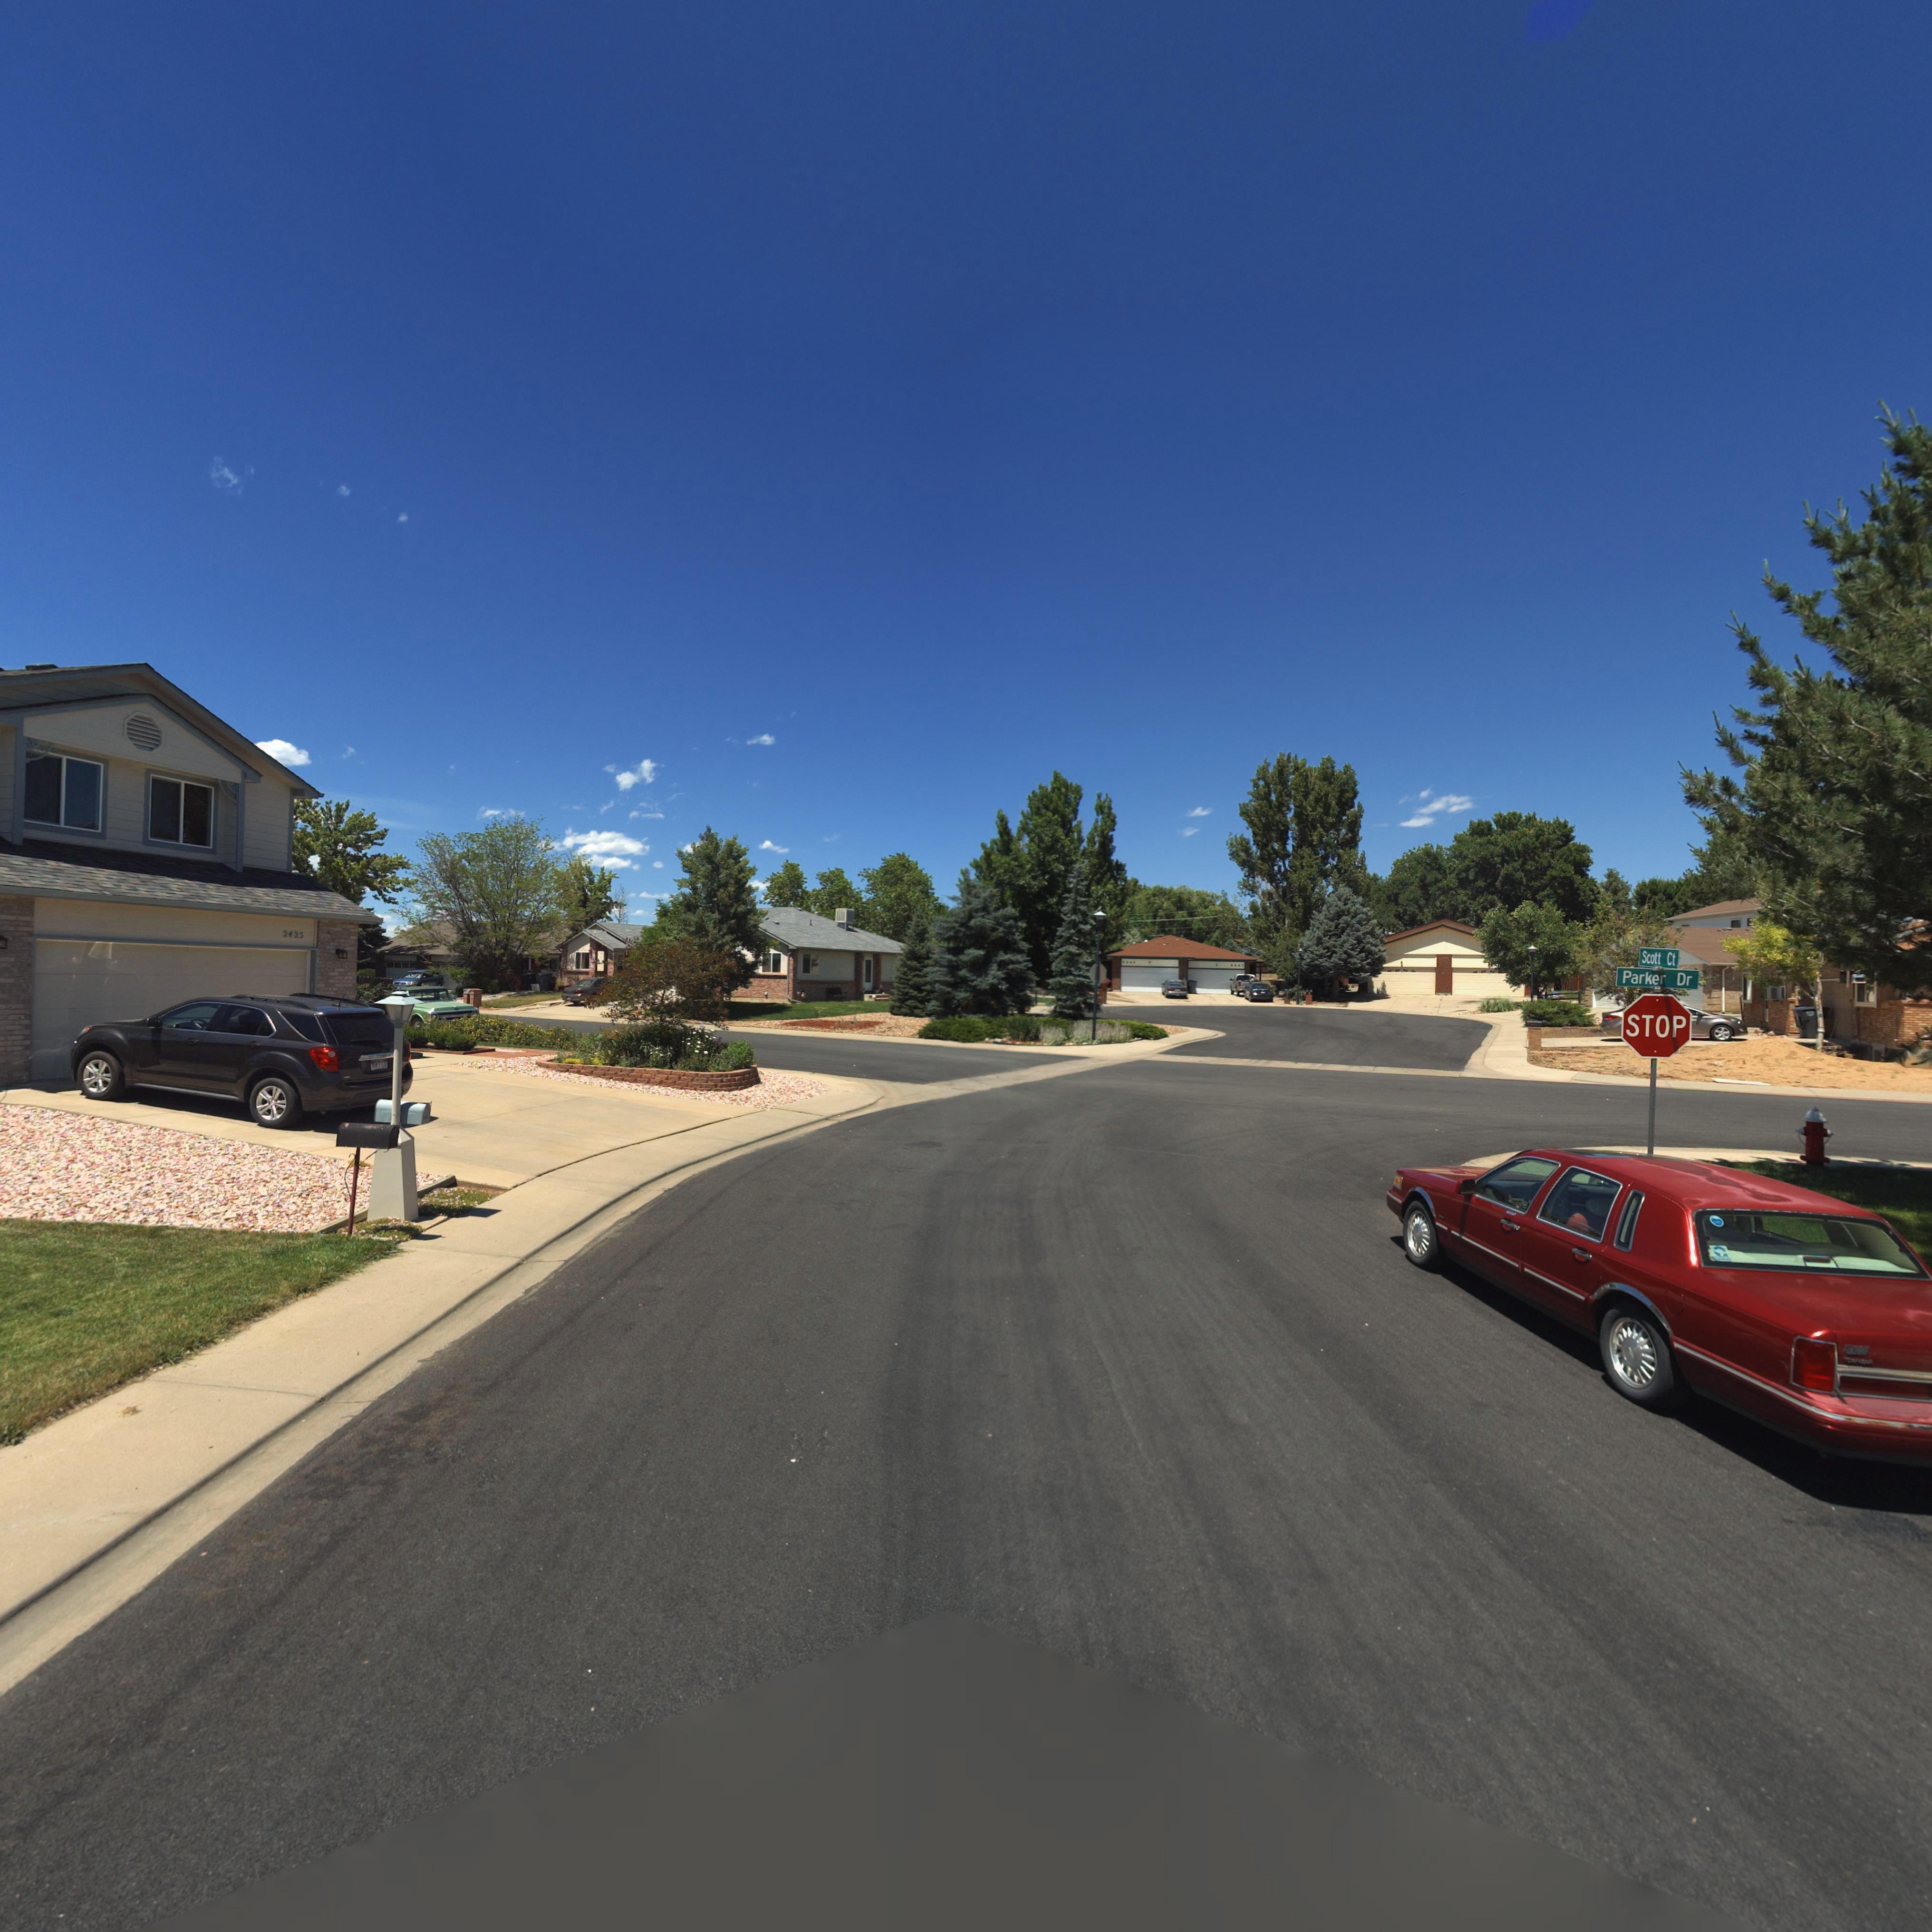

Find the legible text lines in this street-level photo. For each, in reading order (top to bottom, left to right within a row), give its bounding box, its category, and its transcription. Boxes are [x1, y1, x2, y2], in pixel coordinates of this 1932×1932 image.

[282, 930, 304, 938] StreetNumber: 2425
[1641, 950, 1676, 966] StreetName: Scott Ct
[1622, 970, 1692, 986] StreetName: Parker Dr